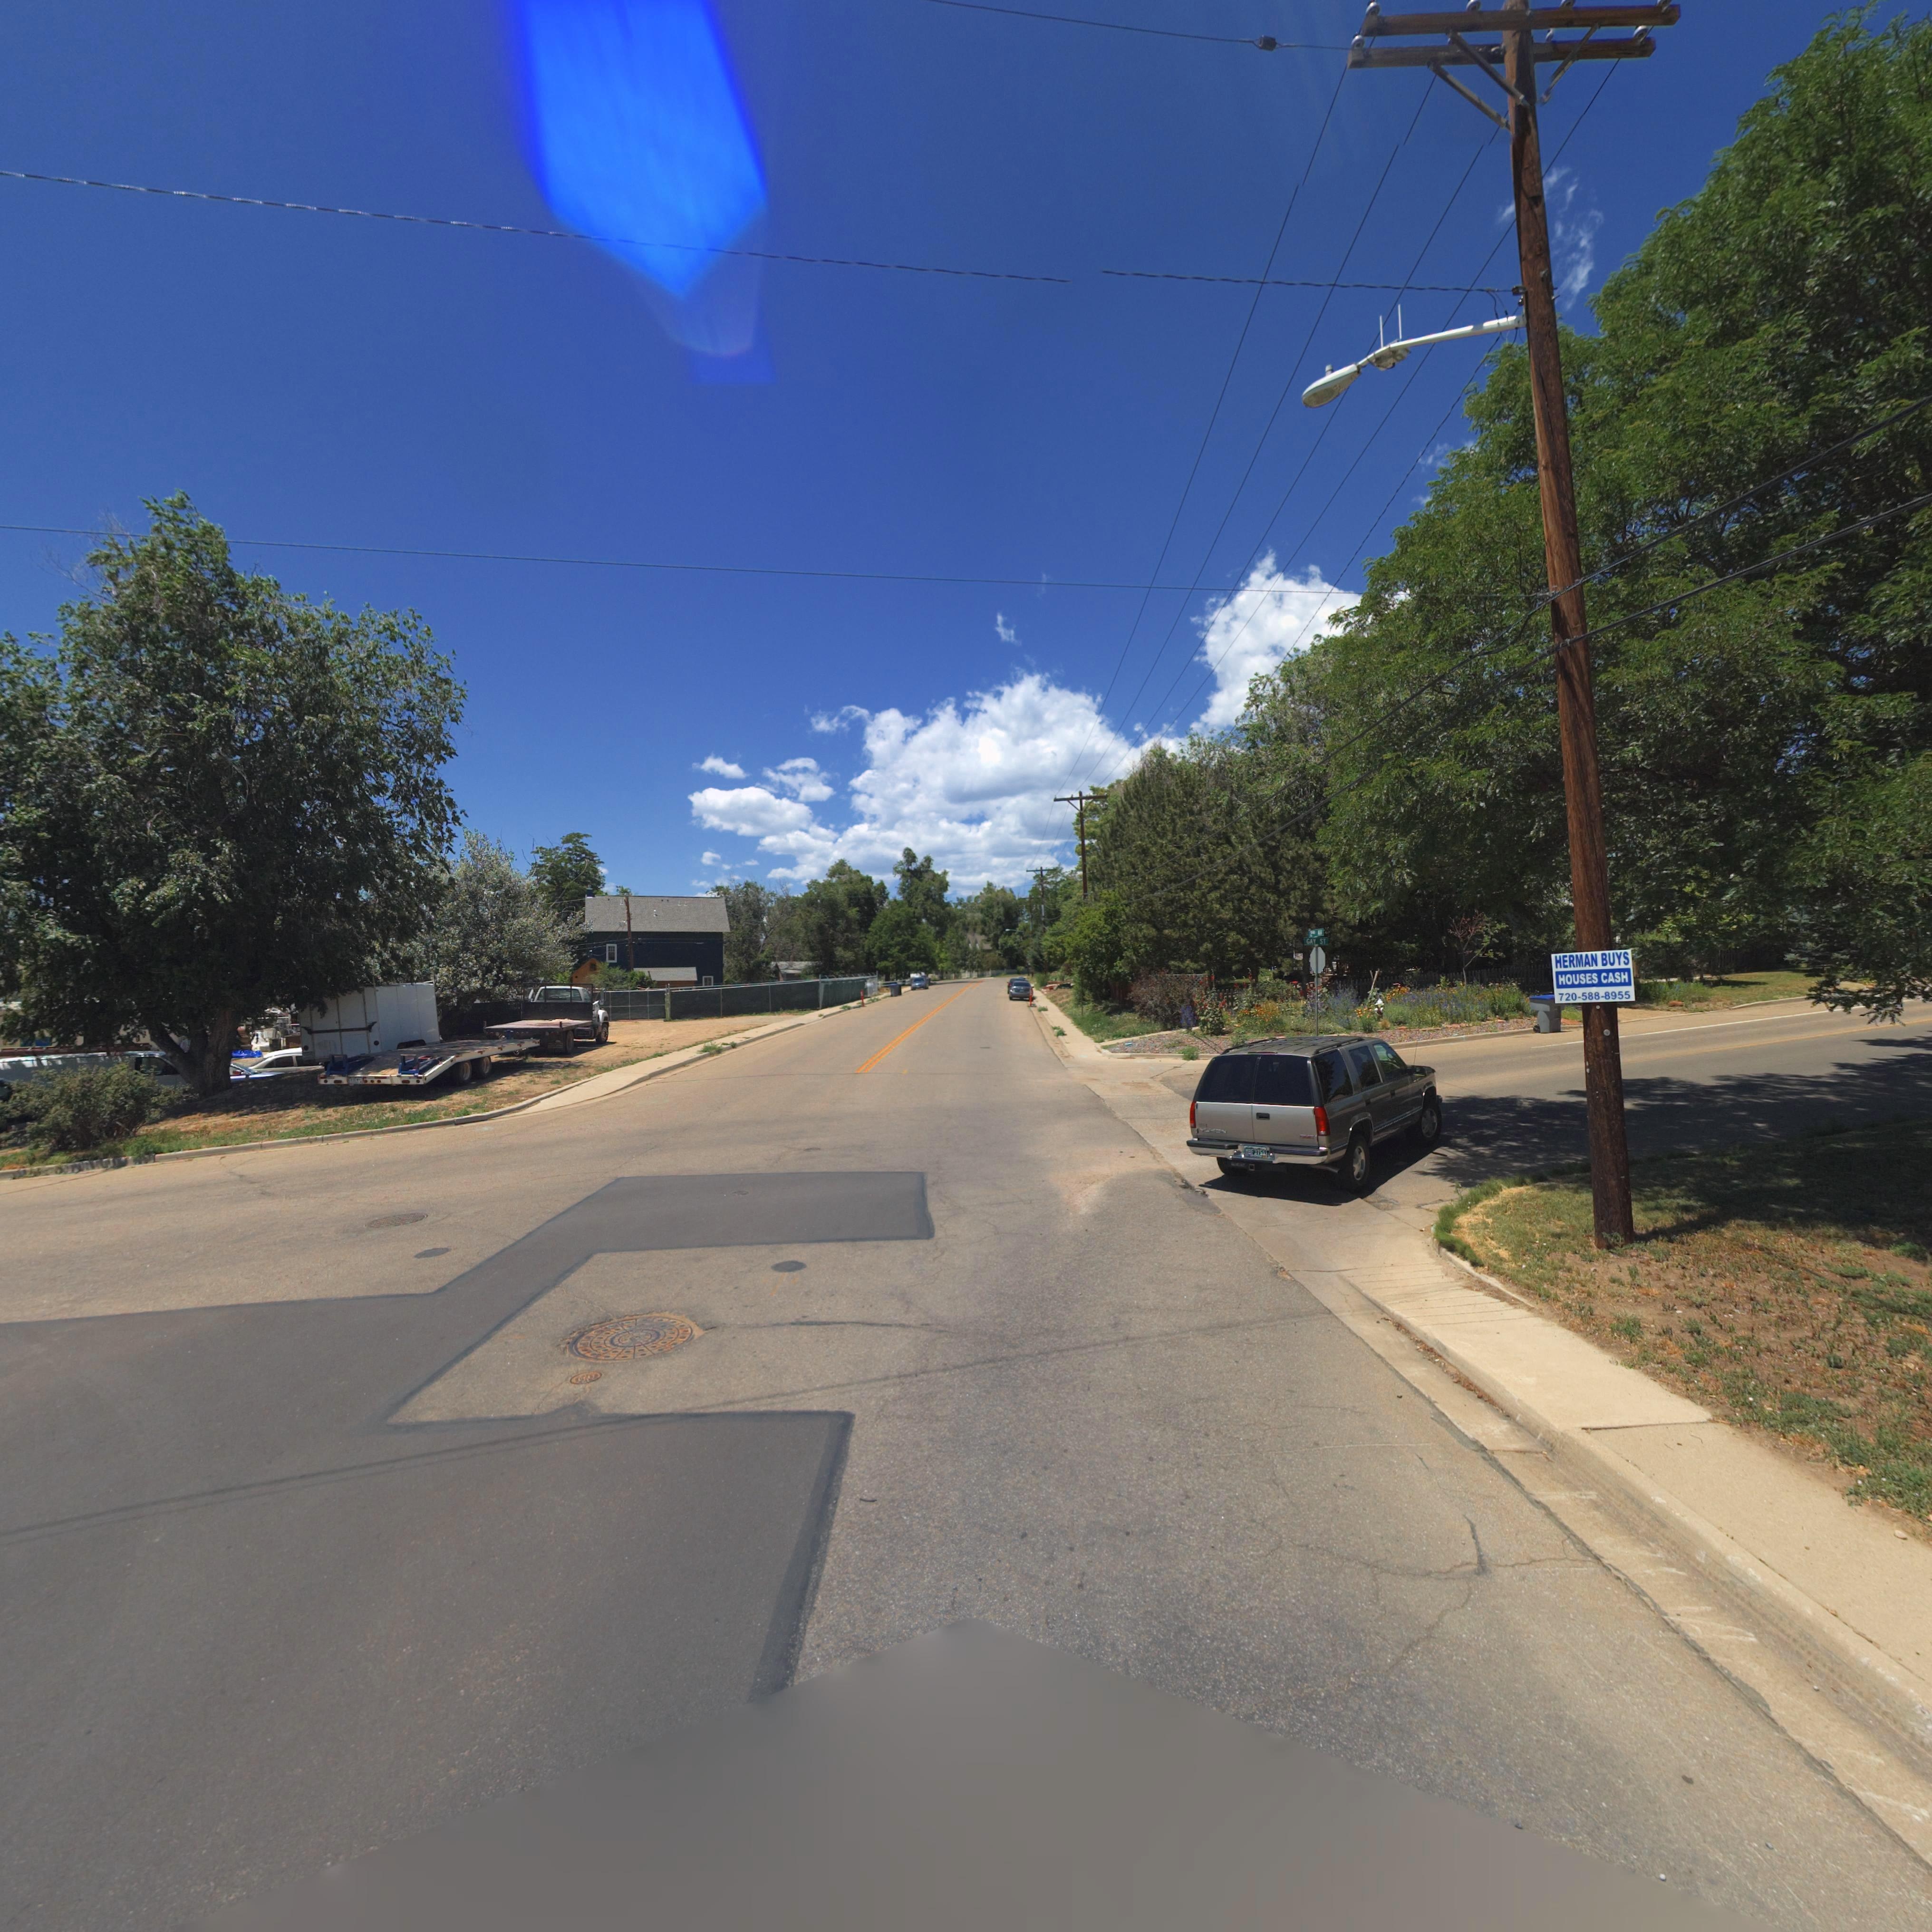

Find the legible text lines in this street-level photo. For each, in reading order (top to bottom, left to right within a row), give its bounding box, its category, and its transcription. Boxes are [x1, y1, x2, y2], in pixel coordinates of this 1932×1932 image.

[1310, 929, 1323, 937] StreetName: 2ND AV
[1305, 938, 1326, 945] StreetName: GAY ST